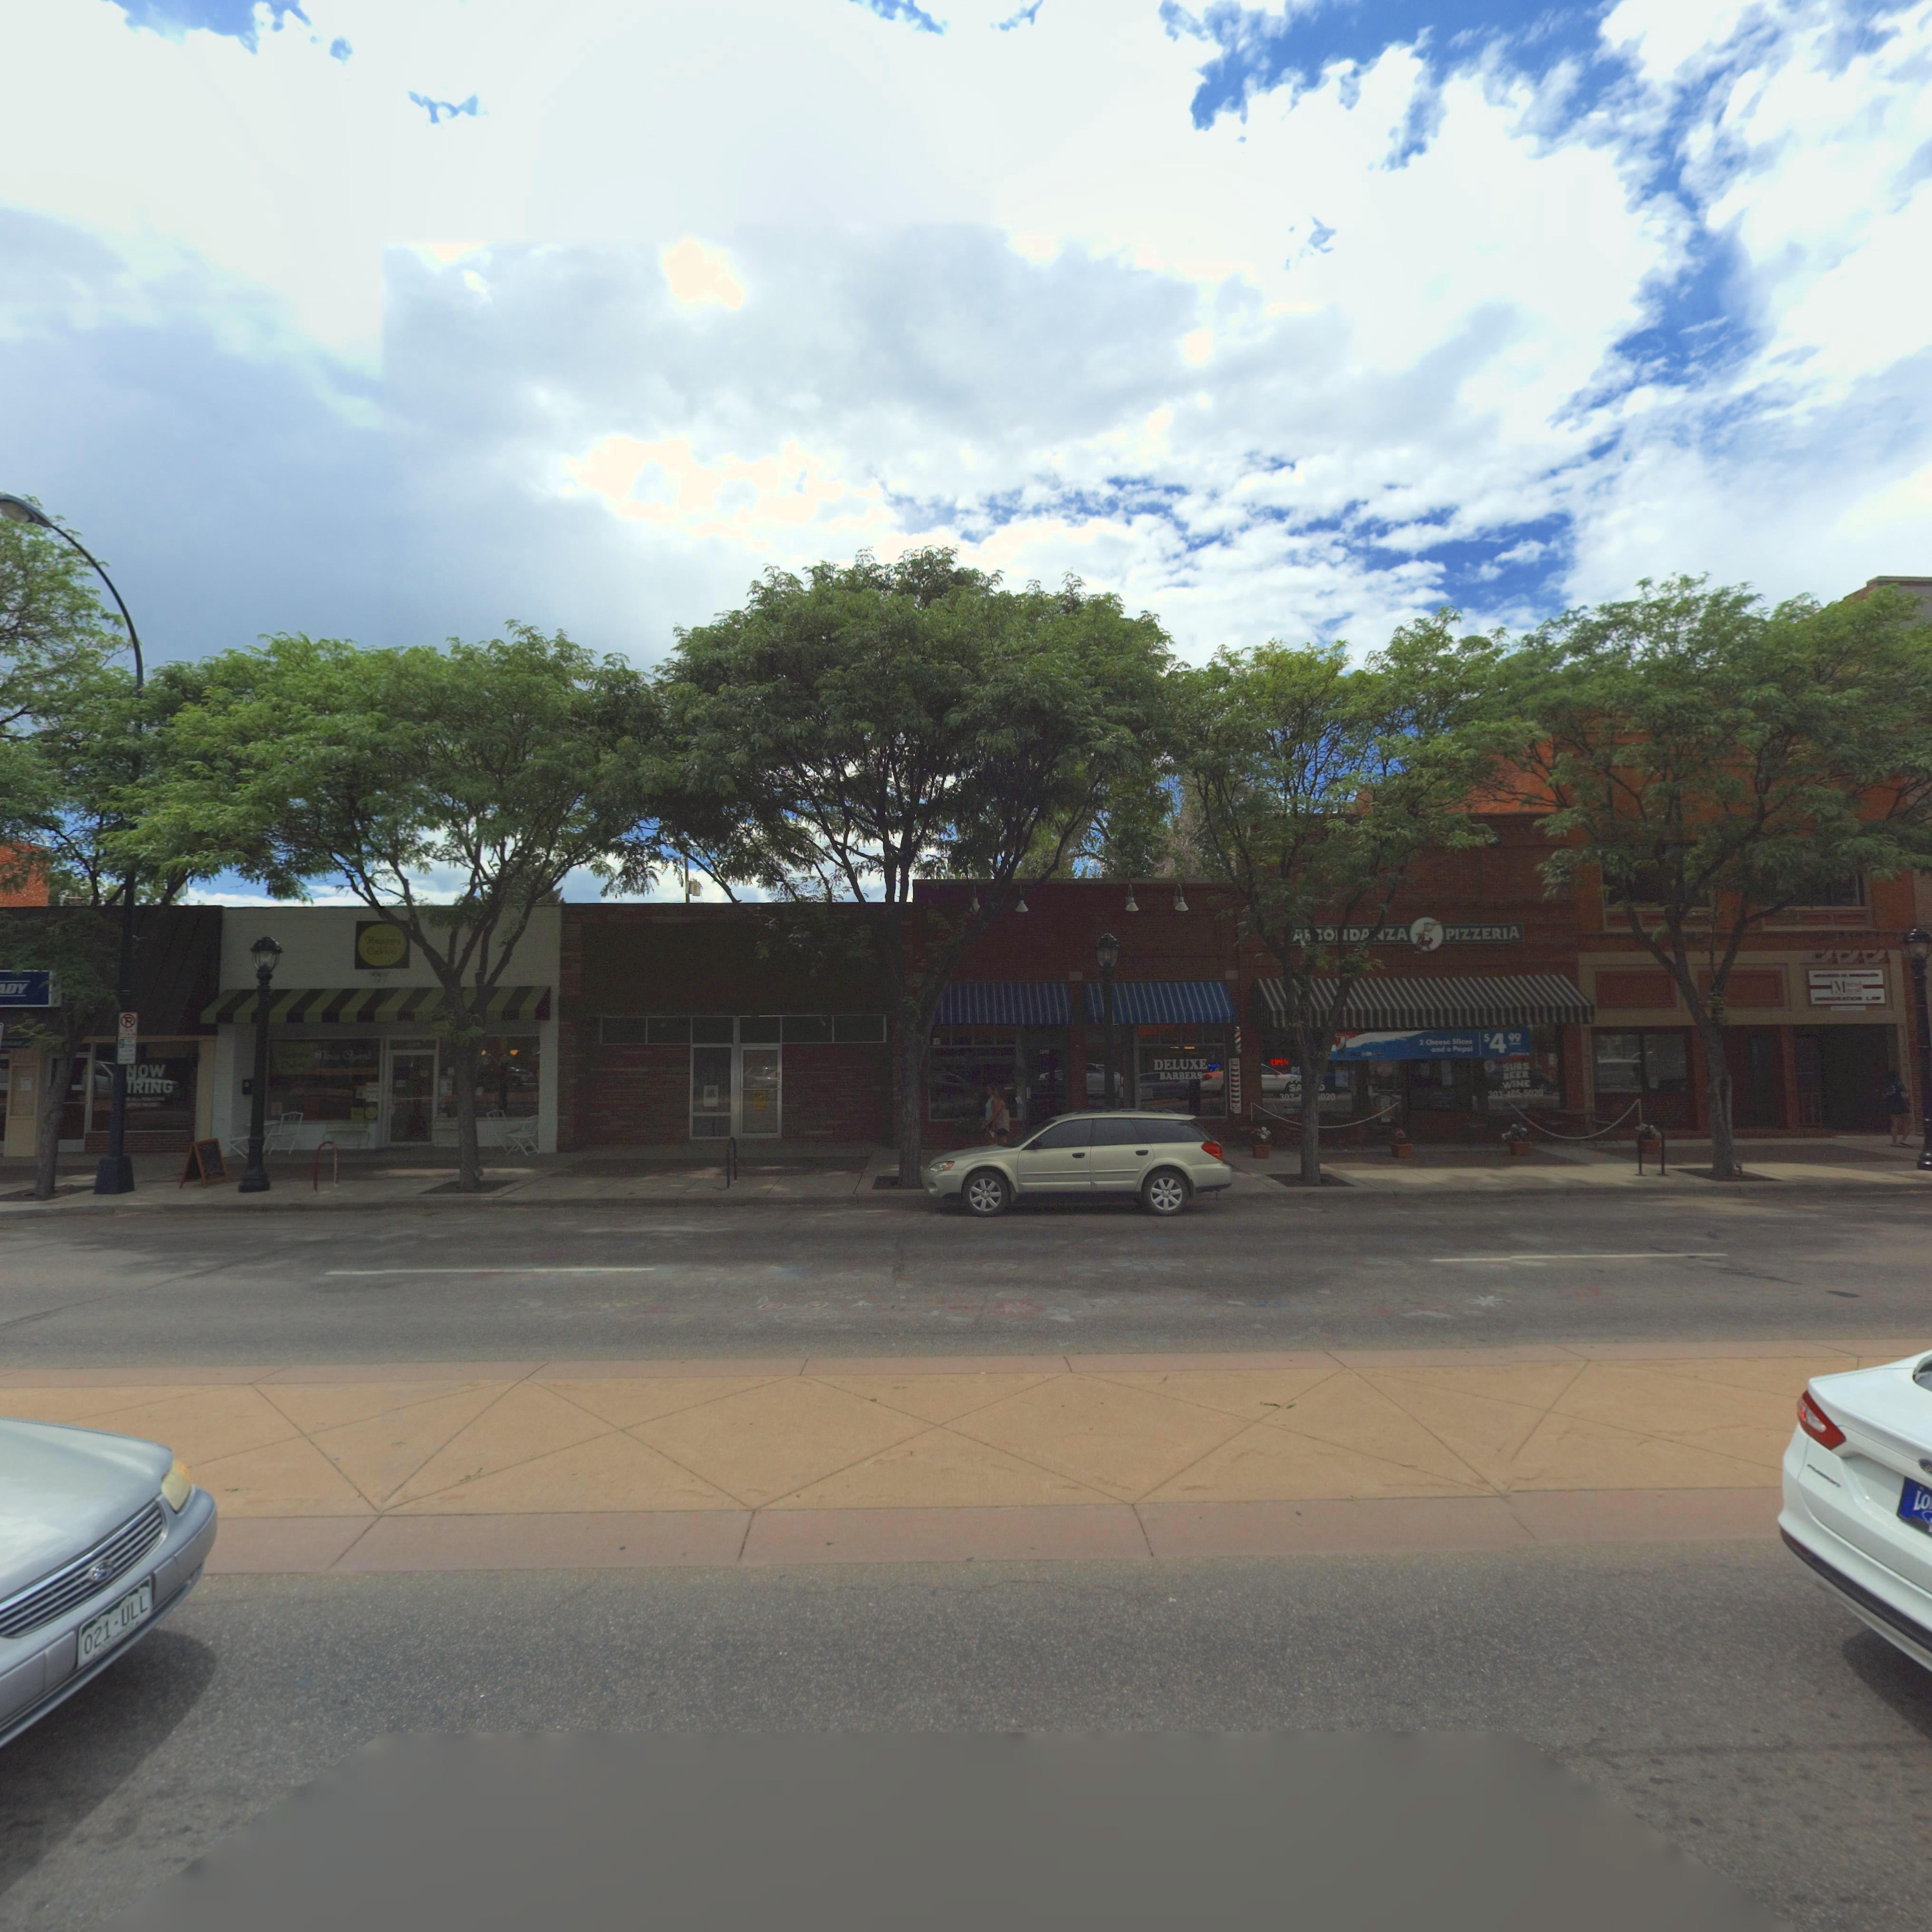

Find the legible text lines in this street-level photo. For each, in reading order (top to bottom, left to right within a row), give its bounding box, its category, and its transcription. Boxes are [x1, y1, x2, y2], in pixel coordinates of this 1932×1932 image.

[1291, 925, 1521, 941] BusinessName: A**O*D**ZA PIZZERIA
[364, 934, 402, 947] BusinessName: Happ**
[367, 946, 397, 956] BusinessName: Cak***
[1, 983, 29, 994] BusinessName: ***** ***DY
[280, 1060, 305, 1070] BusinessName: Ca**s
[1153, 1058, 1207, 1070] BusinessName: DELUXE
[1159, 1071, 1202, 1080] BusinessName: BARBERS